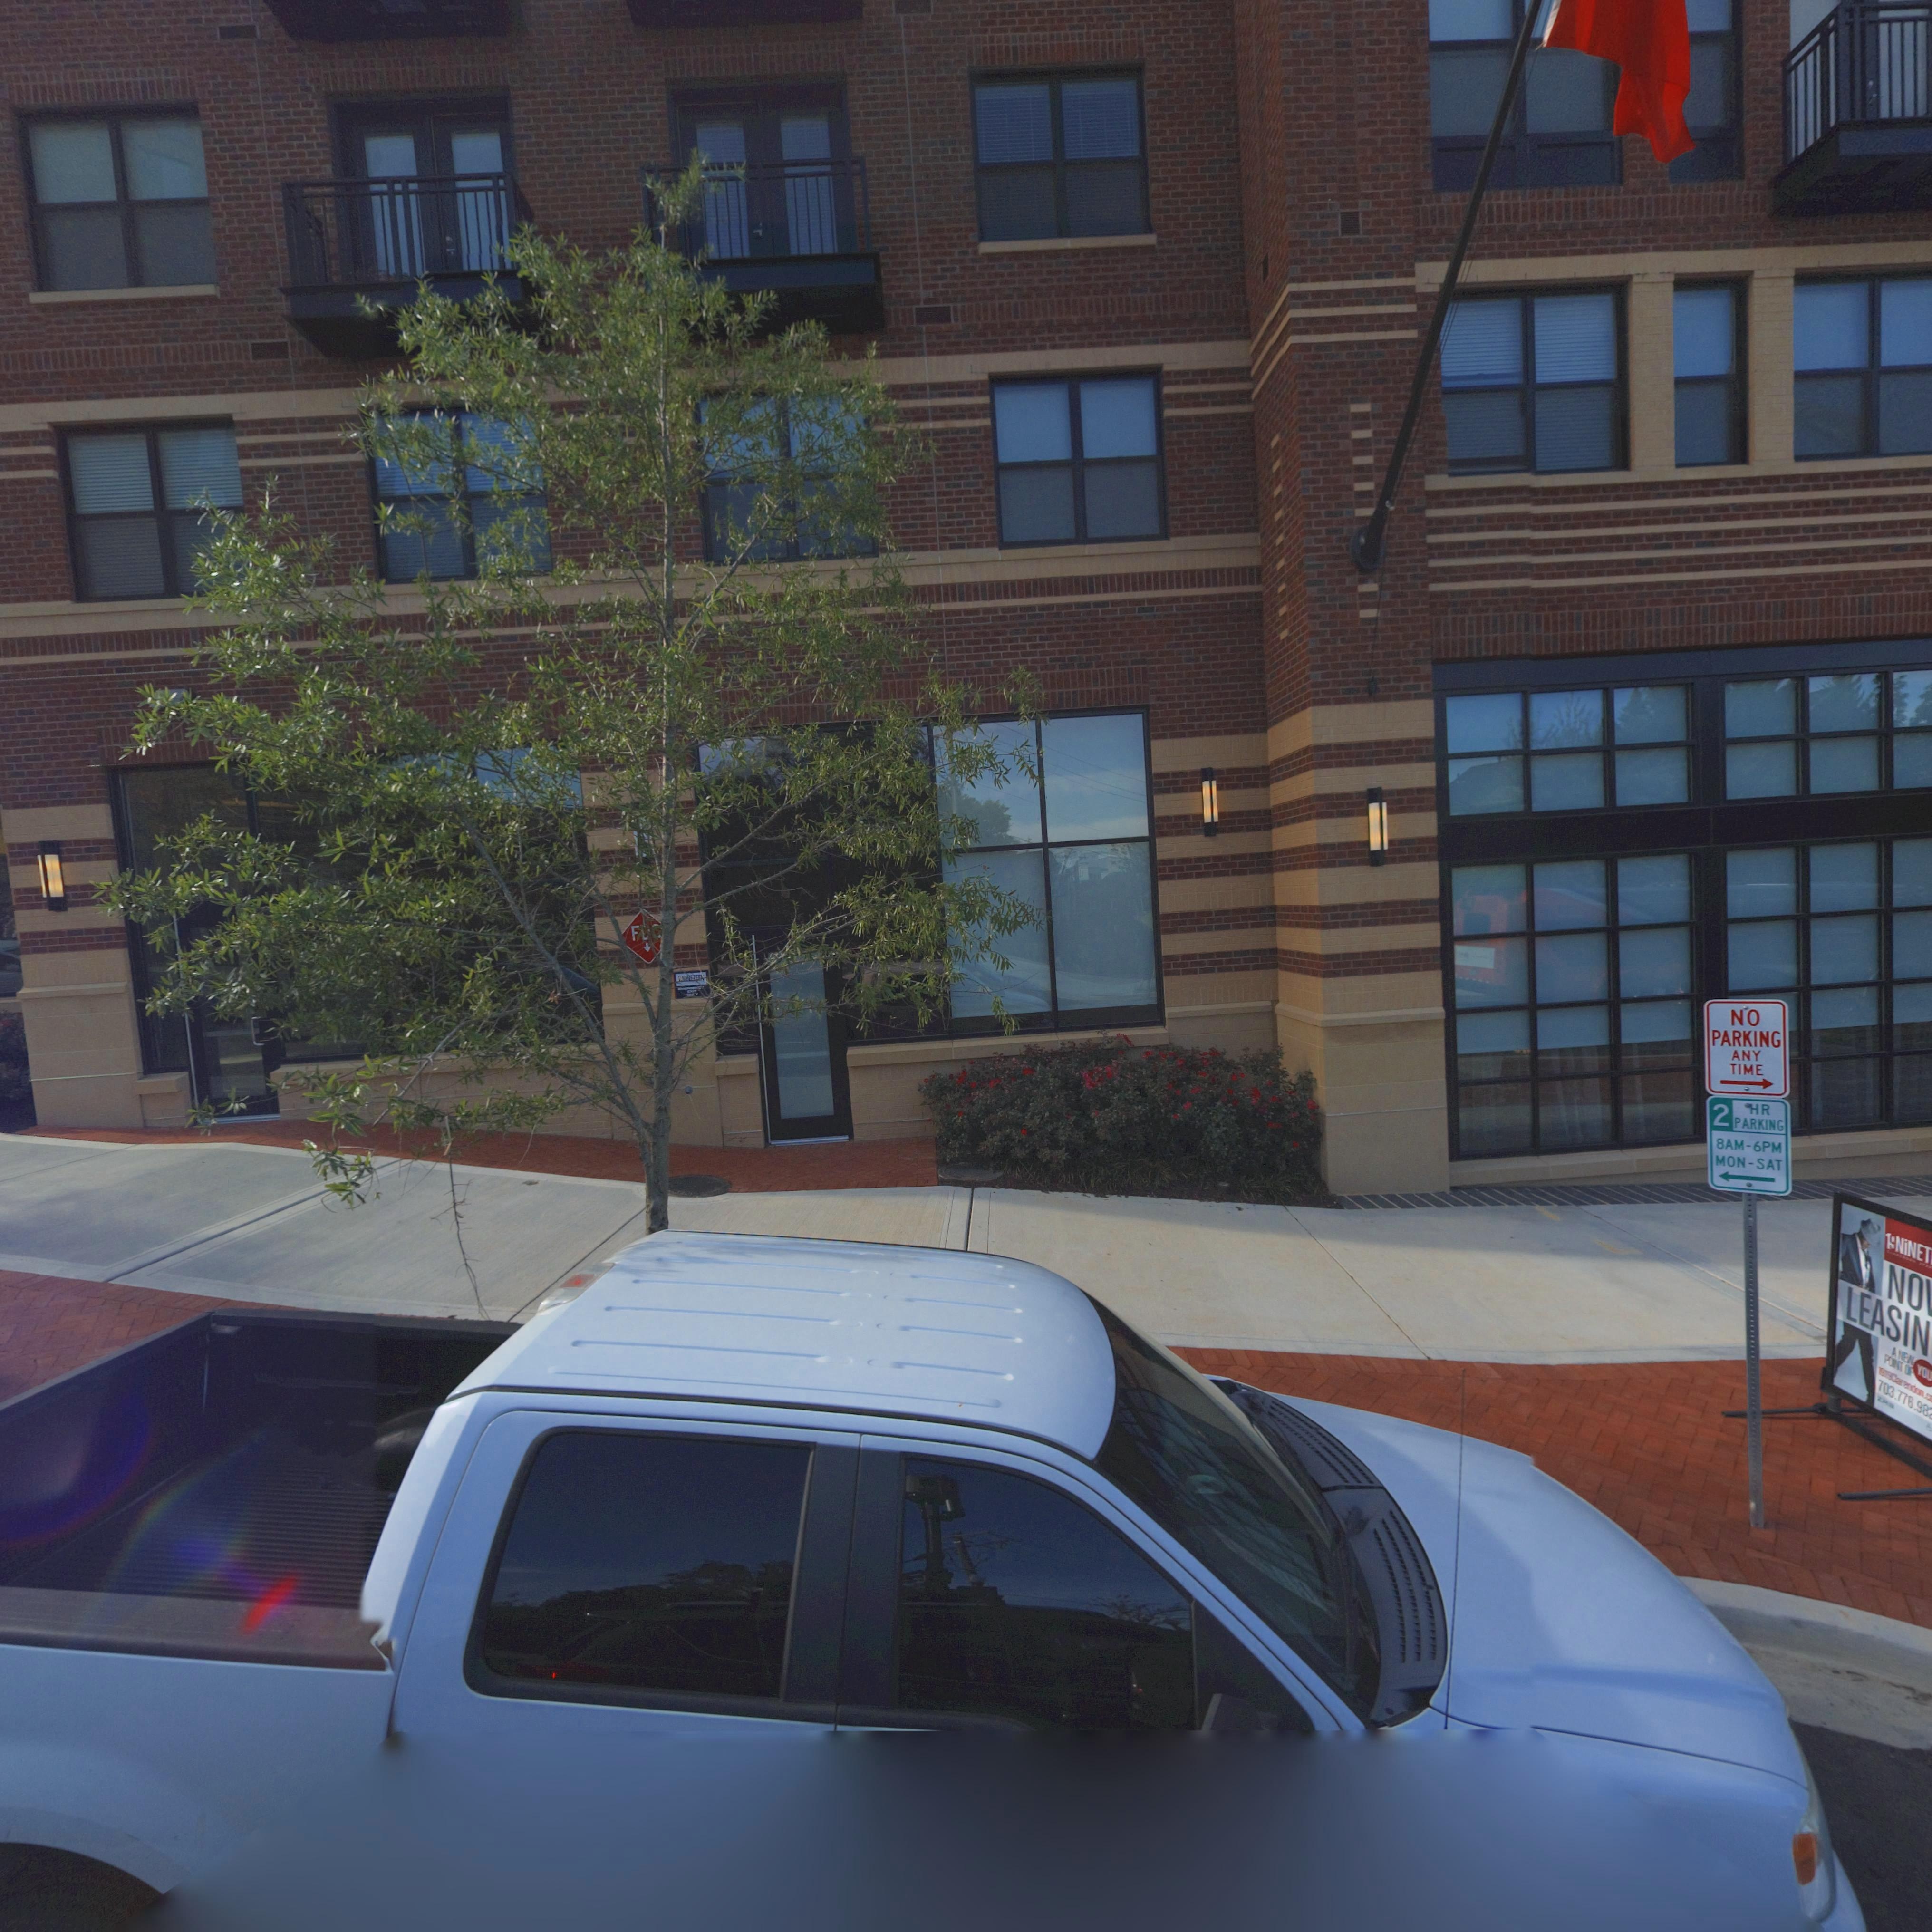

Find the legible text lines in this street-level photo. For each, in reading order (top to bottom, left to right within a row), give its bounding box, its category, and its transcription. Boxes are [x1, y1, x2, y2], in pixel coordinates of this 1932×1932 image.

[1729, 1007, 1763, 1028] None: NO
[1710, 1027, 1782, 1049] None: PARKING
[1729, 1047, 1764, 1063] None: ANY
[1728, 1062, 1766, 1078] None: TIME
[1710, 1101, 1732, 1129] None: 2
[1733, 1115, 1786, 1133] None: PARKING
[1748, 1102, 1772, 1117] None: HR
[1715, 1136, 1783, 1155] None: 8AM-6PM
[1713, 1152, 1785, 1173] None: MON-SAT
[1893, 1233, 1925, 1265] None: NiNE
[1884, 1260, 1927, 1316] None: NO
[1845, 1283, 1932, 1361] None: LEASIN
[1888, 1344, 1916, 1368] None: A NEW
[1915, 1361, 1929, 1381] None: YO
[1876, 1377, 1930, 1420] None: 703.778.98